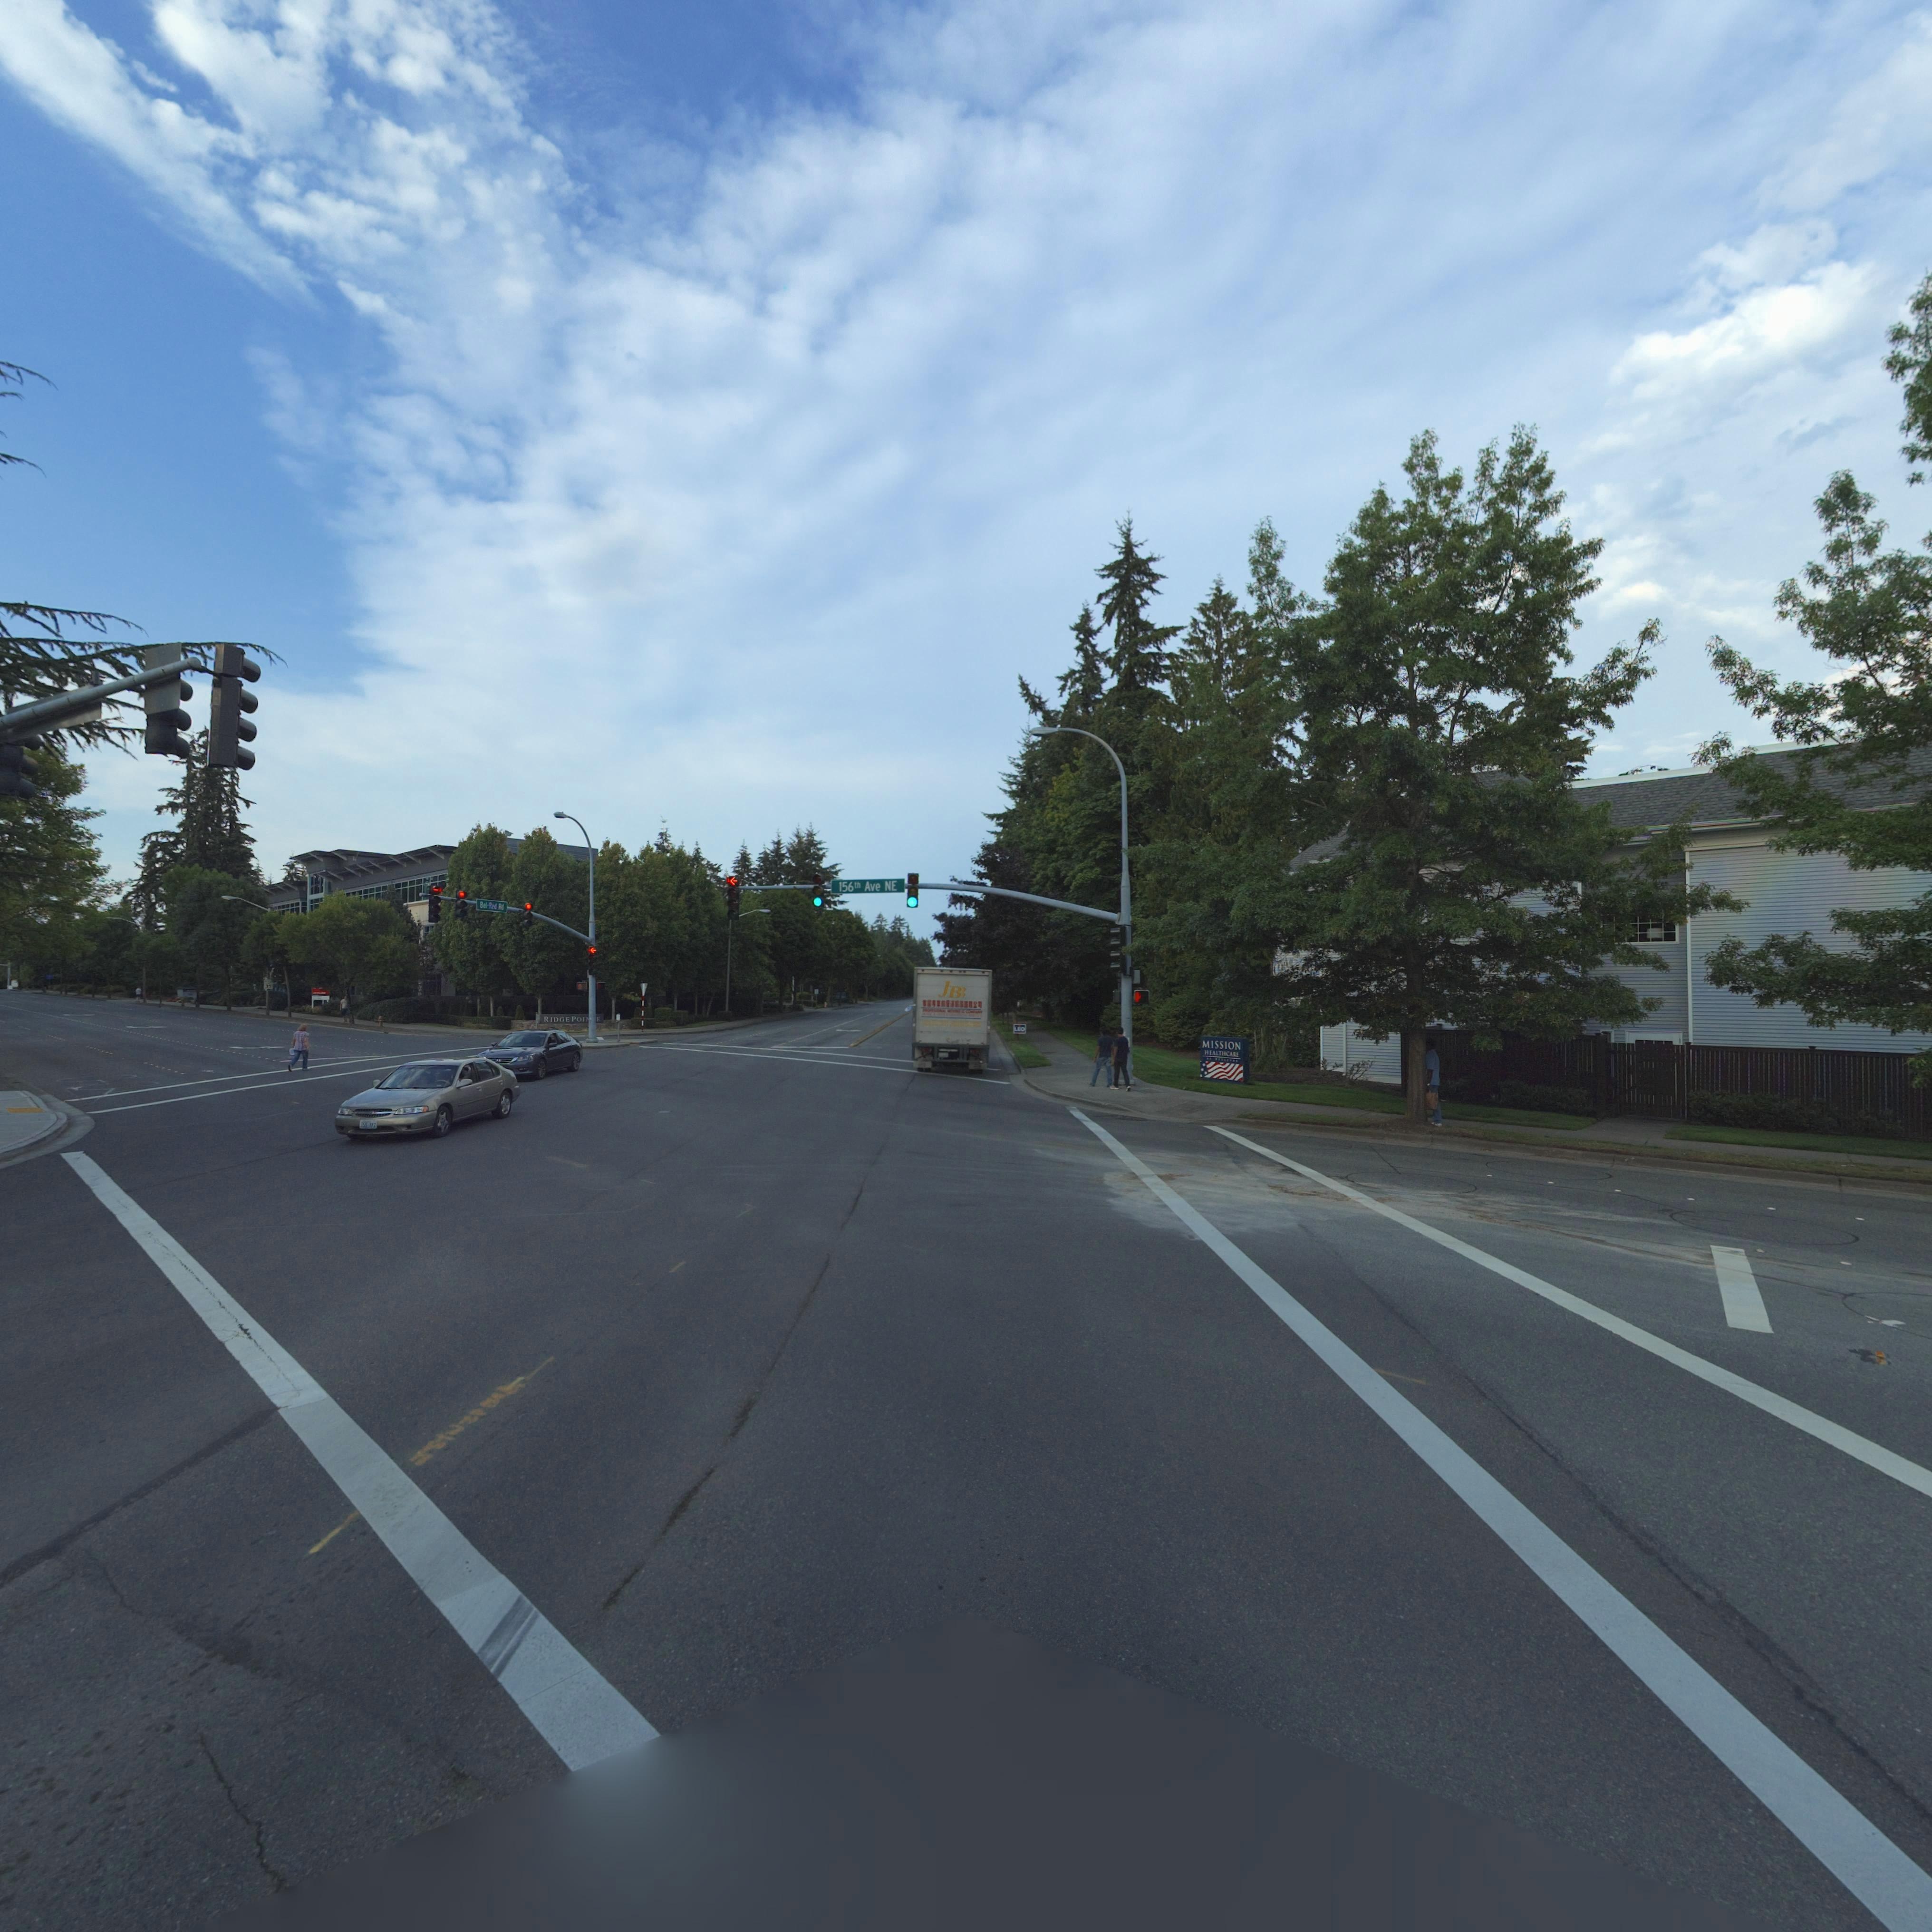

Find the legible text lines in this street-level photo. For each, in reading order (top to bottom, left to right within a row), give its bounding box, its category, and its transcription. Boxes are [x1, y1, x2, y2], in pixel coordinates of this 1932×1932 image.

[839, 881, 896, 891] StreetName: 156 Ave NE
[478, 899, 504, 912] StreetName: Bel-Red Rd
[543, 1016, 569, 1022] None: RIDGE
[572, 1016, 601, 1022] None: POIN*E
[1201, 1040, 1241, 1050] BusinessName: MISSION
[1204, 1050, 1238, 1057] BusinessName: HEALTHCARE
[1205, 1056, 1239, 1064] BusinessName: AT BELLEVUE